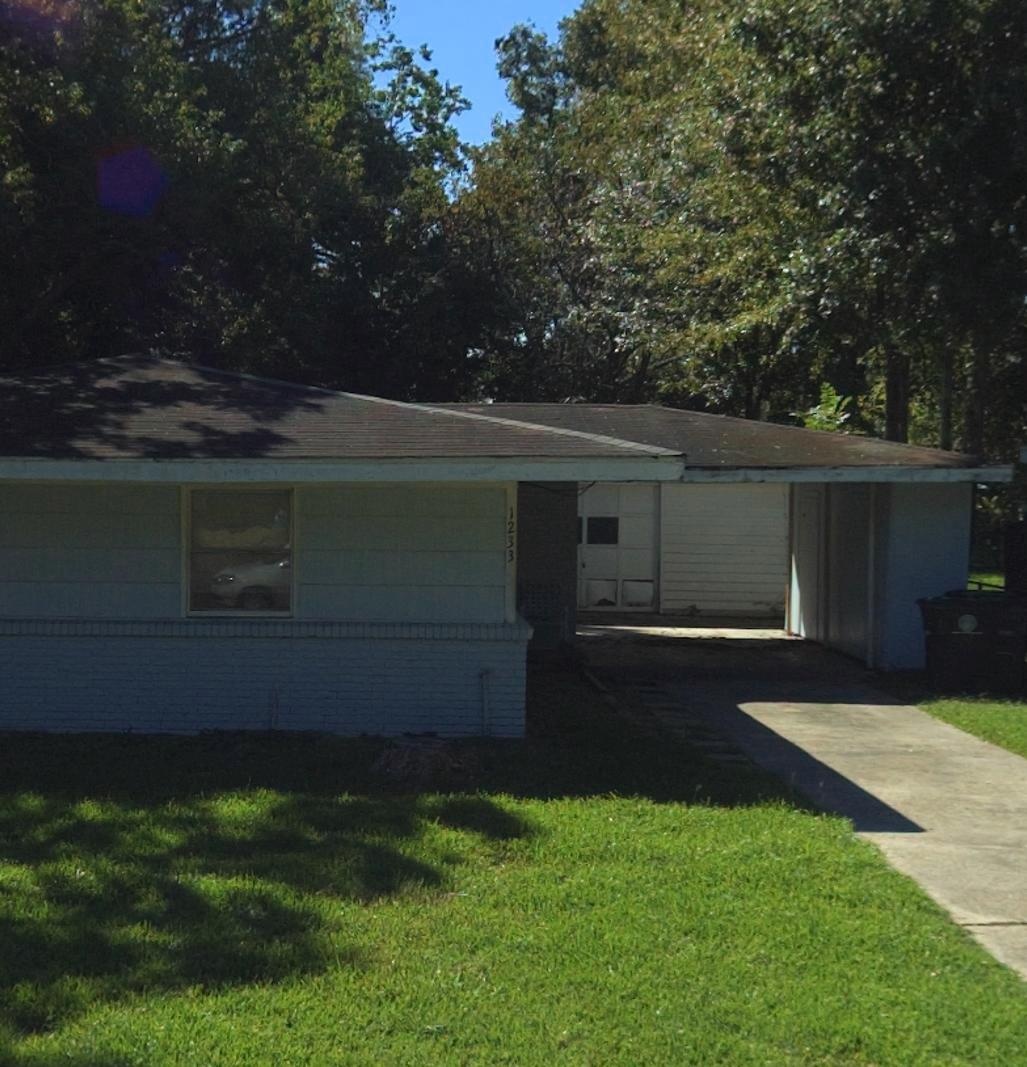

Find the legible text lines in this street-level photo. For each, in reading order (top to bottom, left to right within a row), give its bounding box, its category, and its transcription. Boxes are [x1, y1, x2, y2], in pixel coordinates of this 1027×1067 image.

[506, 505, 515, 564] StreetNumber: 1233